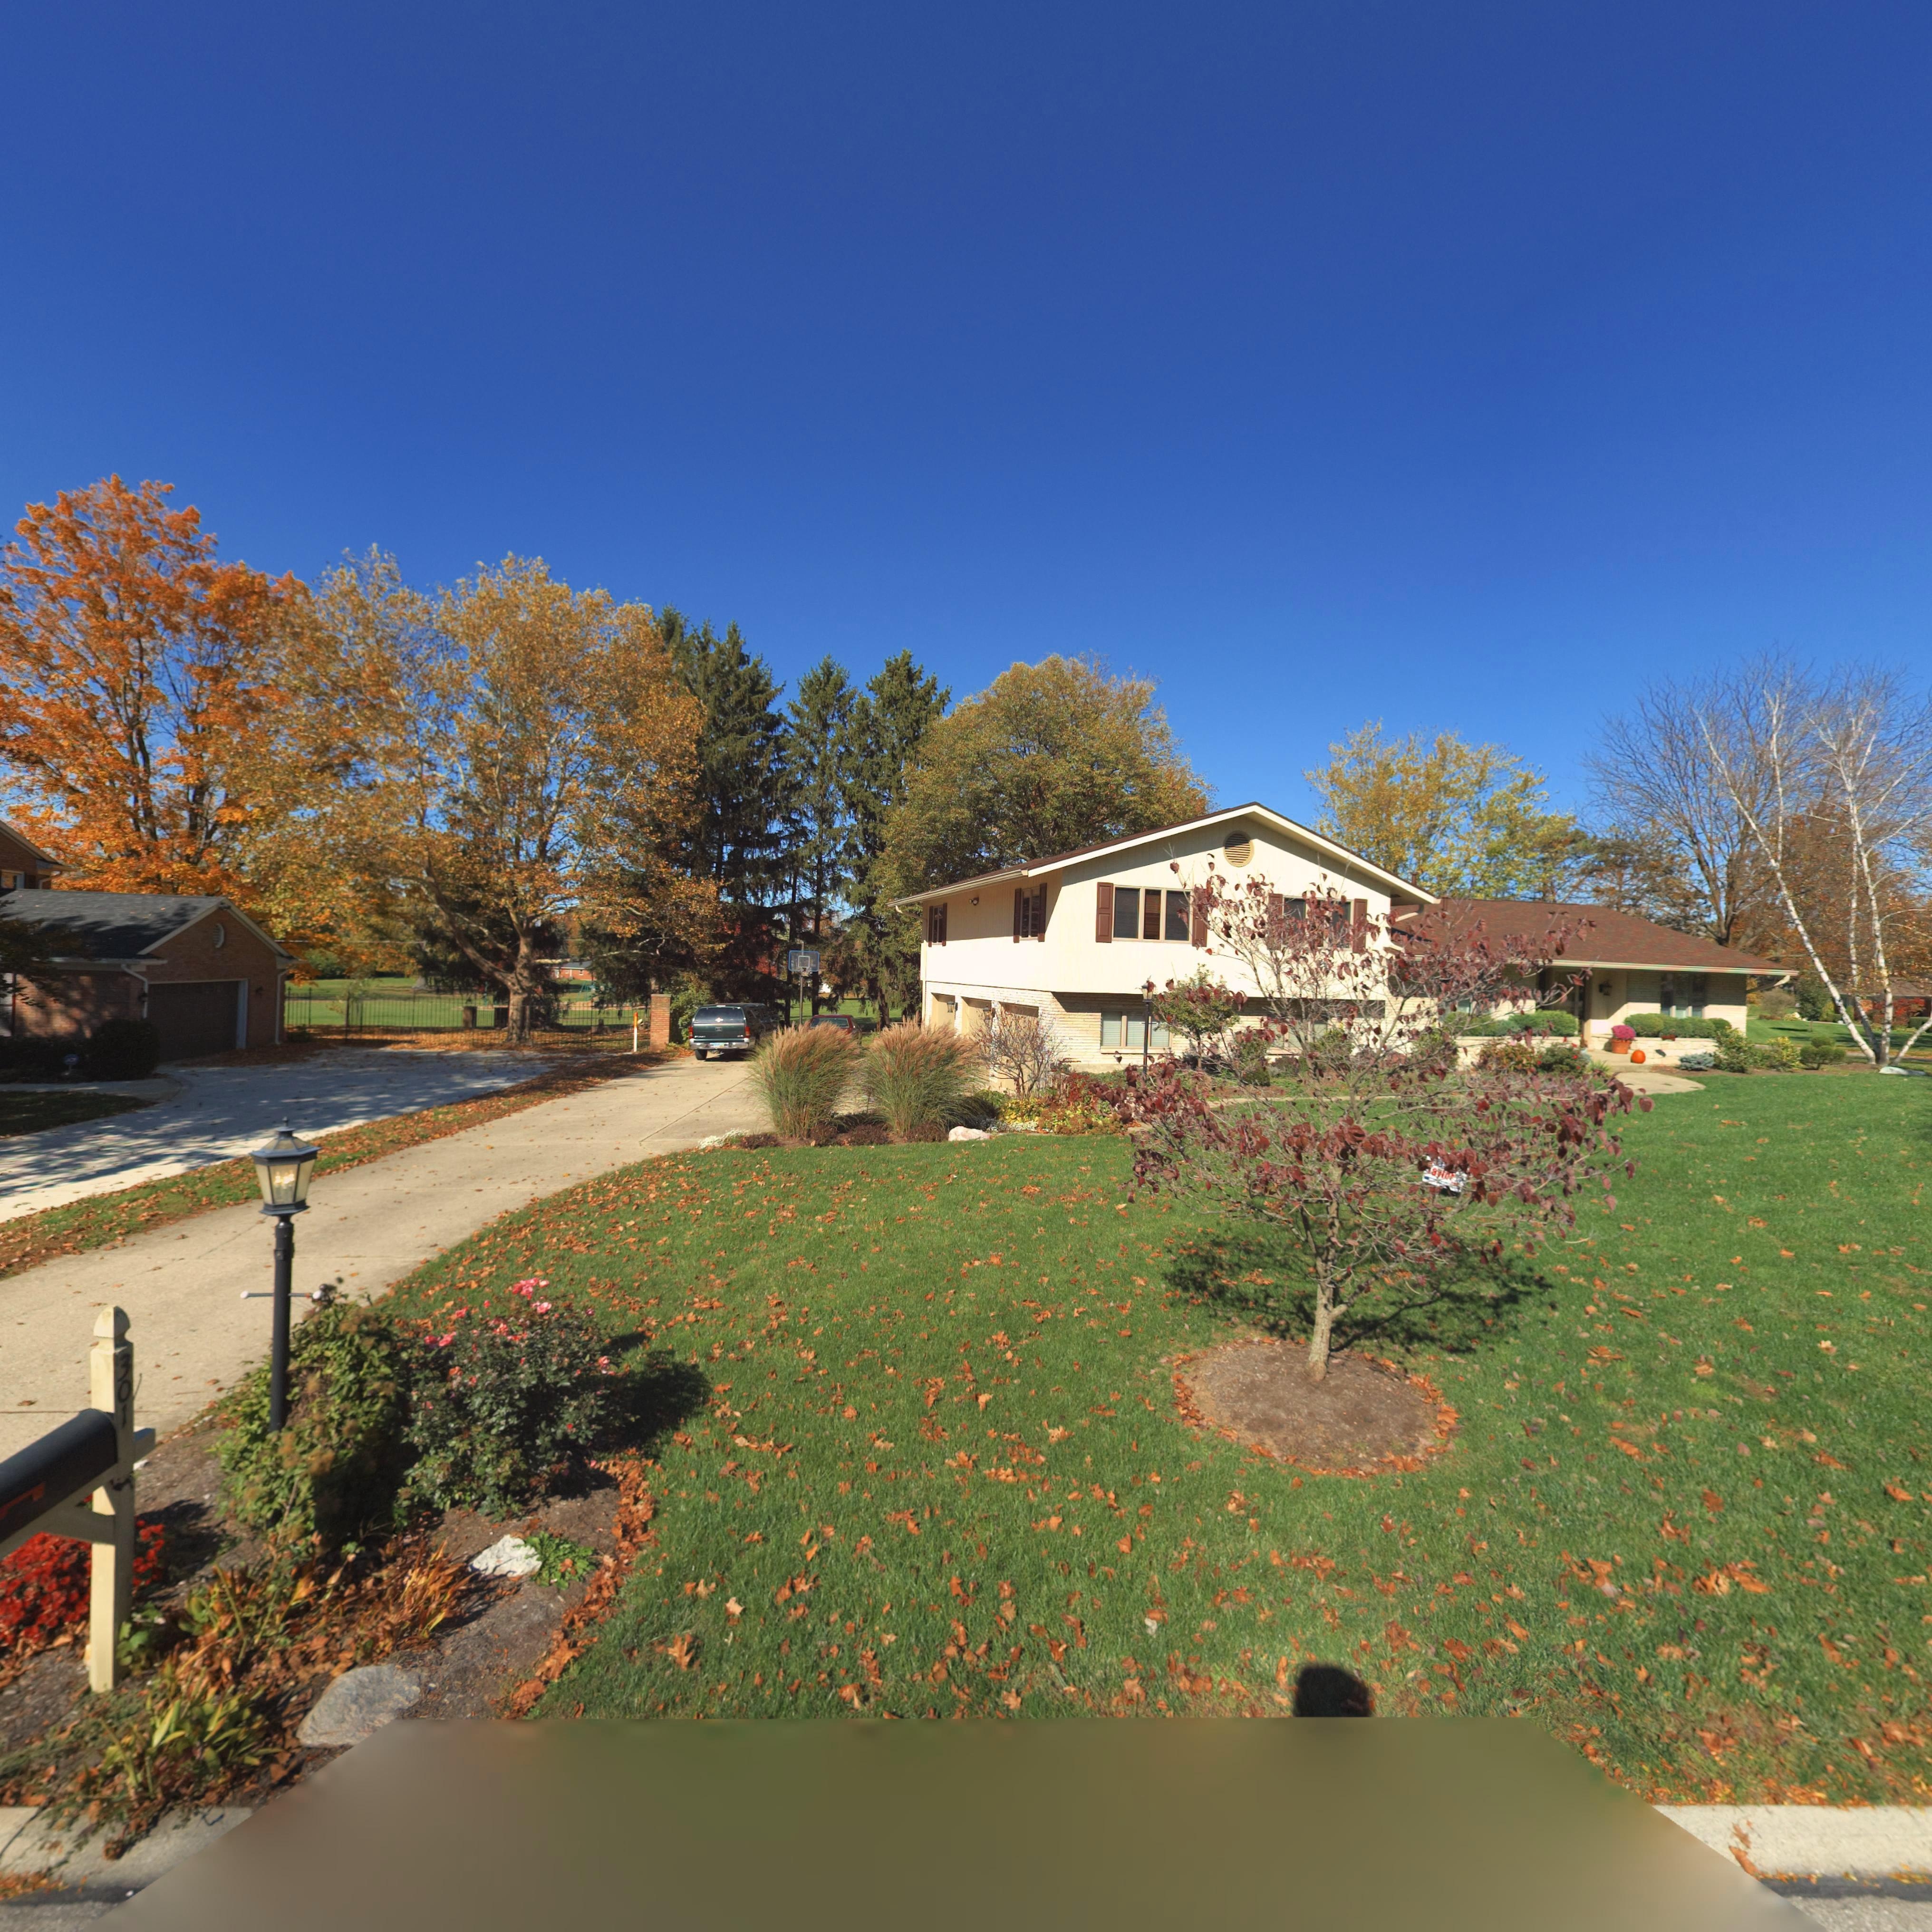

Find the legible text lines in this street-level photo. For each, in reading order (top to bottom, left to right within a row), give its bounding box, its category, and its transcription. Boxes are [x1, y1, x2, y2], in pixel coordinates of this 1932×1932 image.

[114, 1349, 134, 1432] StreetNumber: 301